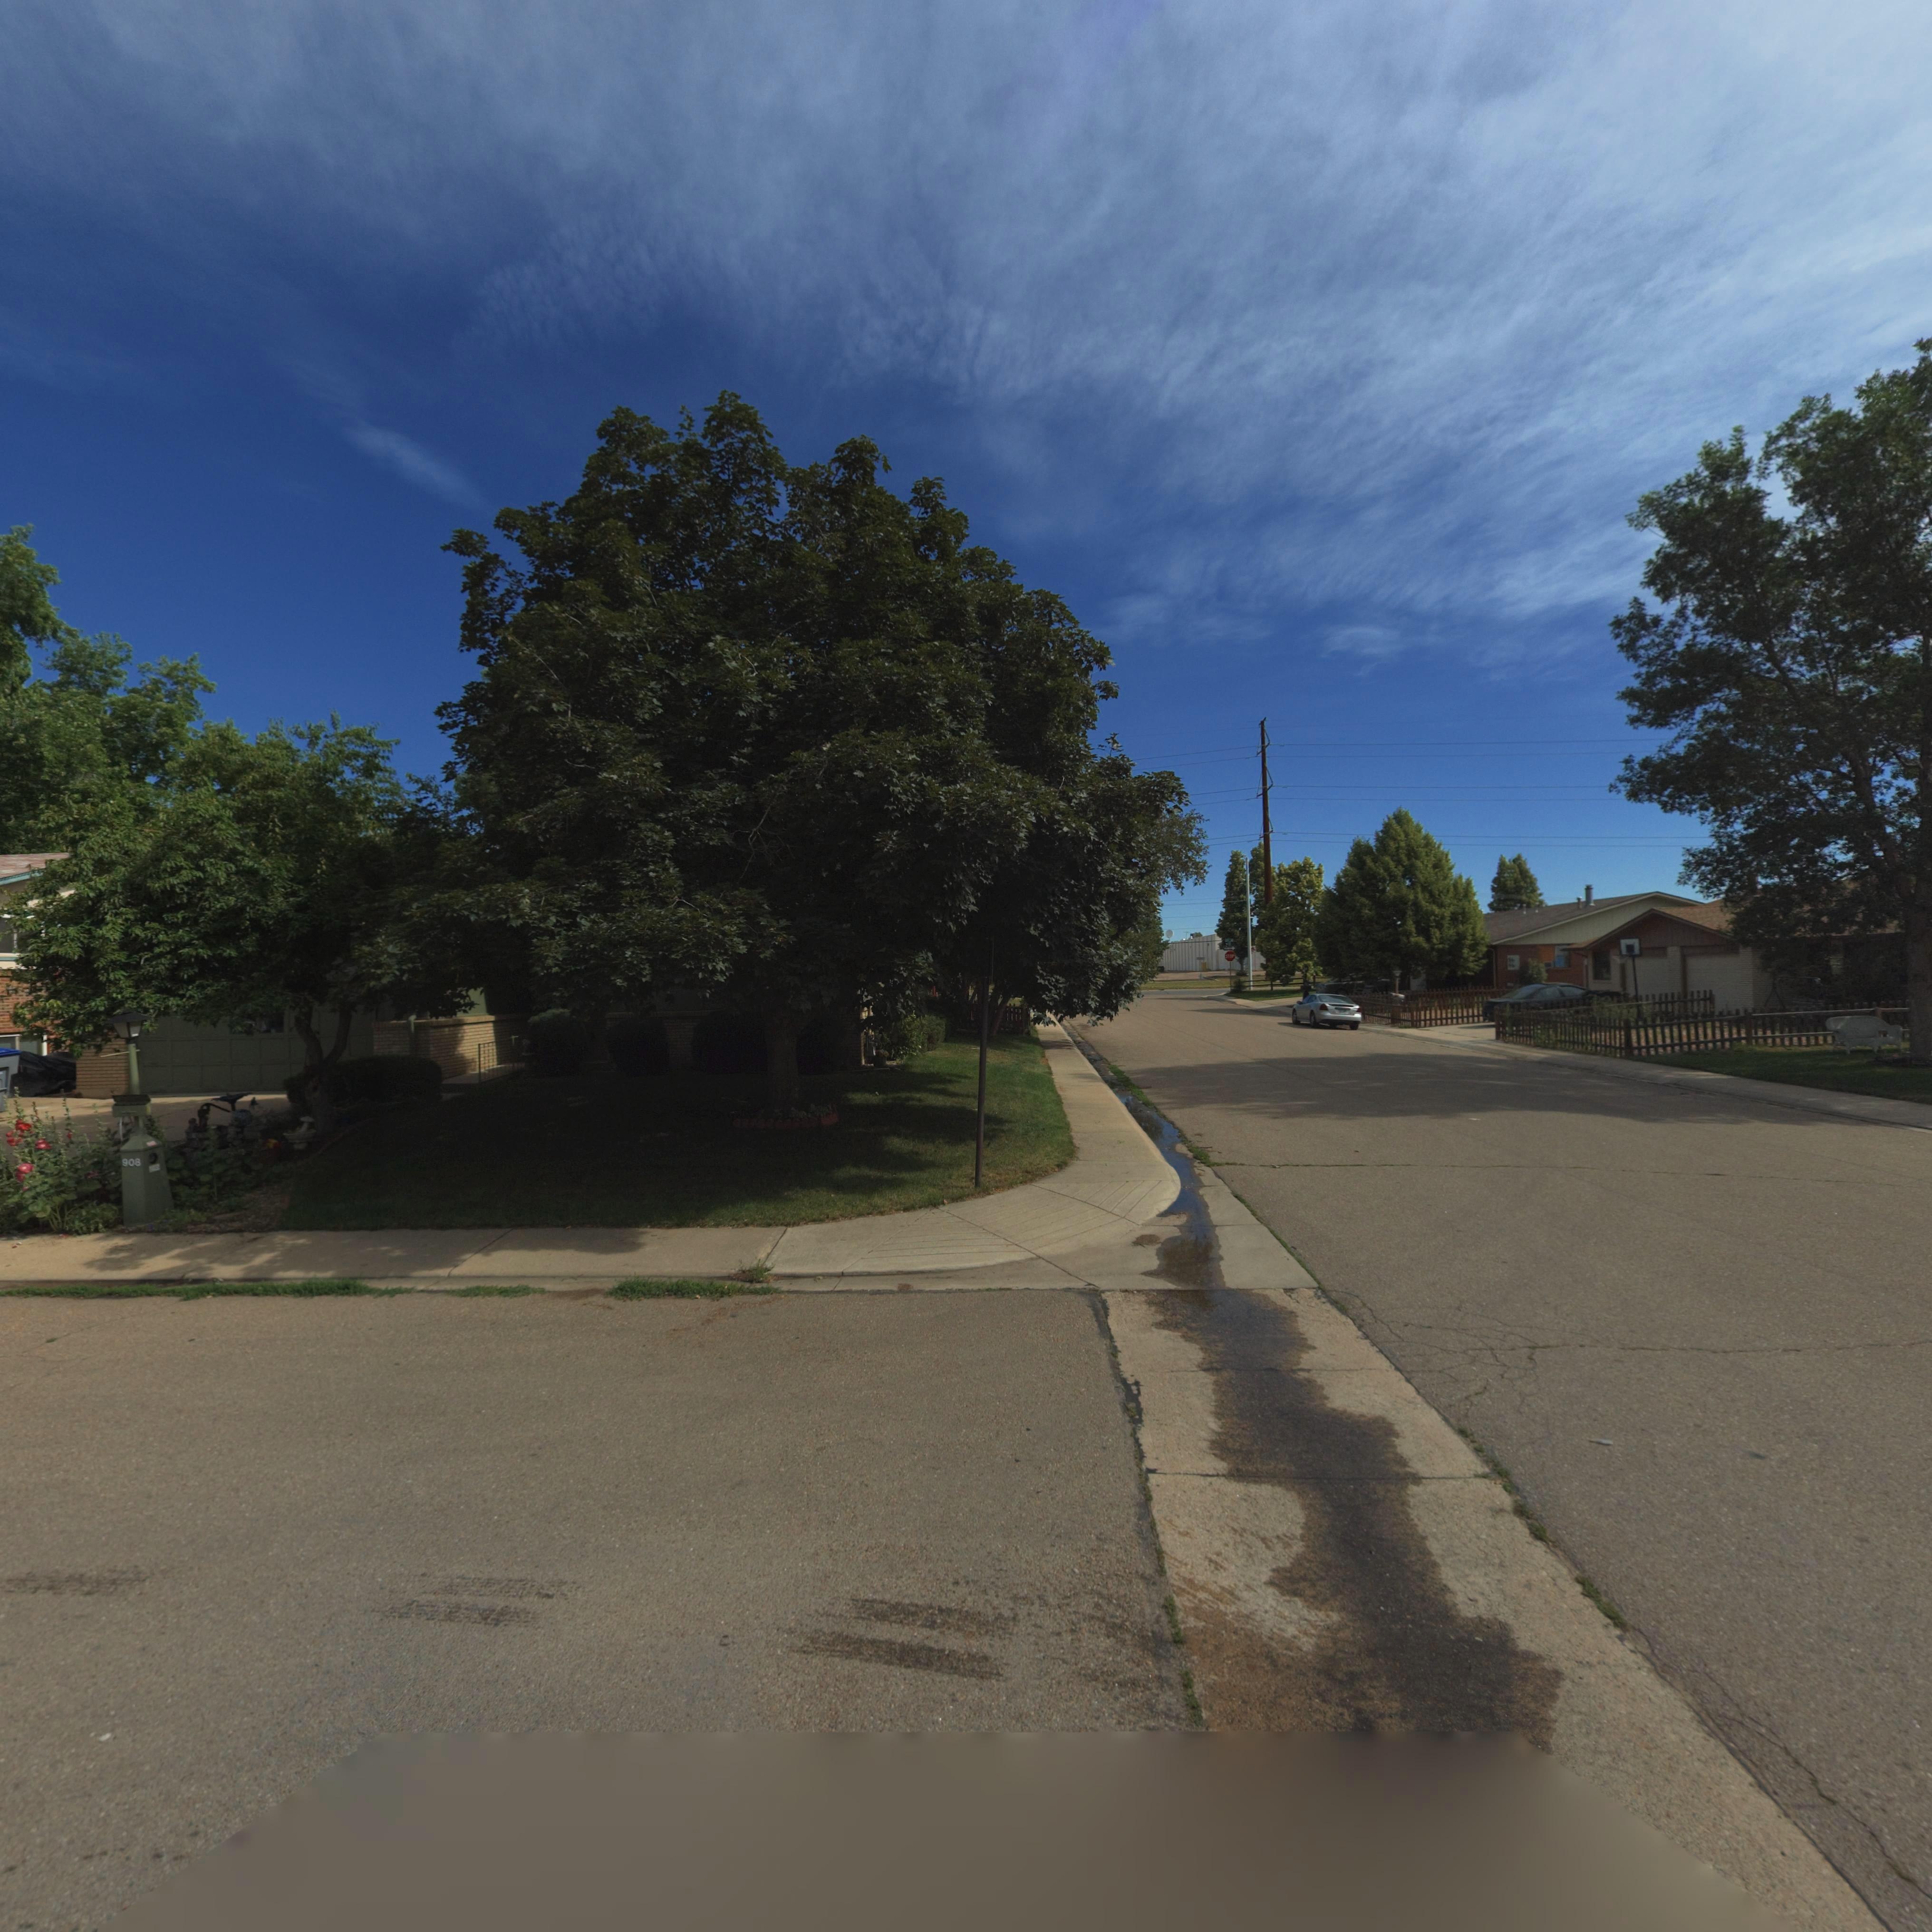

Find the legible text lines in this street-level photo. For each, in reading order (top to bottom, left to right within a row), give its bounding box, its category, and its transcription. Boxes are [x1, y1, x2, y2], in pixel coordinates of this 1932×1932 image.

[122, 1158, 141, 1167] StreetNumber: 908